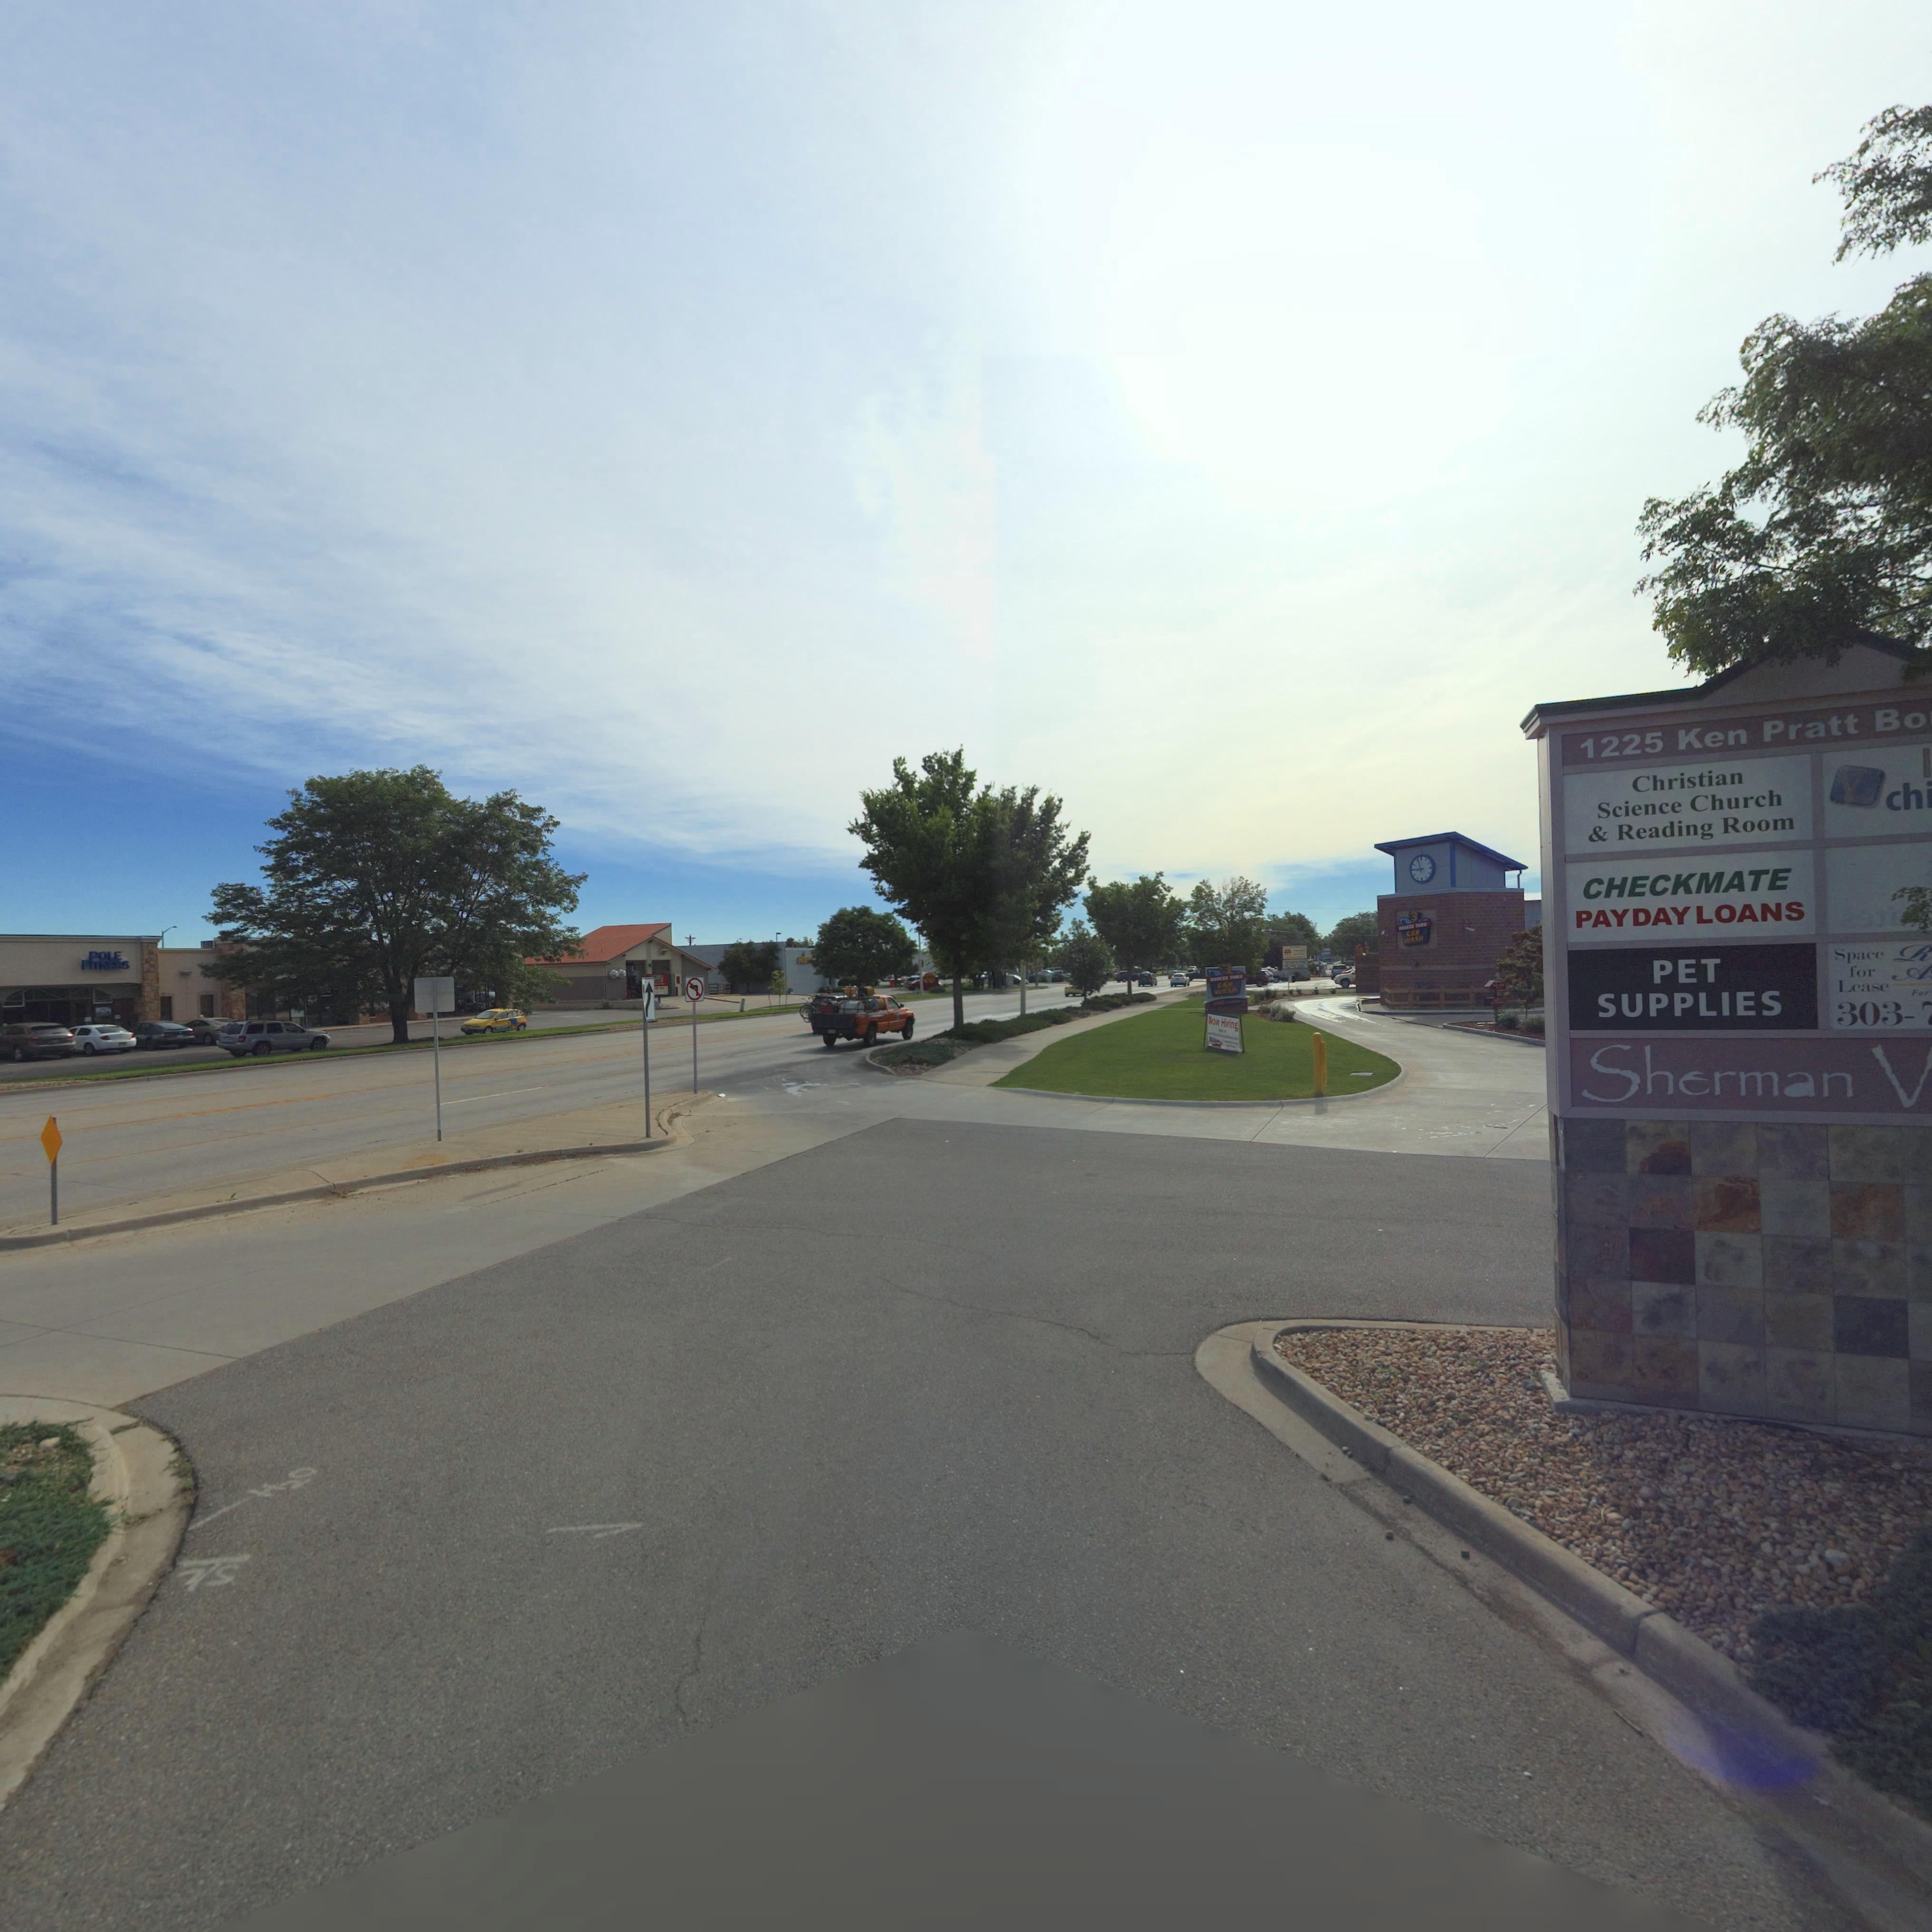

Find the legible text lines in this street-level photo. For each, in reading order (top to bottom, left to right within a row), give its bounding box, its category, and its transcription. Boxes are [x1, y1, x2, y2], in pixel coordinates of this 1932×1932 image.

[1677, 708, 1928, 750] StreetName: 1225 Ken Pratt Bo
[1581, 732, 1664, 758] StreetNumber: 1225
[1632, 769, 1743, 793] BusinessName: Christian
[1597, 789, 1783, 819] BusinessName: Science Church
[1887, 781, 1923, 811] BusinessName: ch
[1587, 816, 1794, 842] BusinessName: * Reading Room
[1583, 868, 1792, 899] BusinessName: CHECKMATE
[1399, 922, 1427, 930] BusinessName: D**** THRU
[1406, 929, 1420, 937] BusinessName: CAR
[1408, 911, 1419, 922] BusinessName: 3
[1403, 936, 1423, 944] BusinessName: WASH
[1575, 901, 1805, 927] BusinessName: PAYDAY LOANS
[88, 951, 122, 960] BusinessName: POLE
[81, 960, 130, 969] BusinessName: FITNESS
[797, 956, 812, 964] None: MID*
[1217, 981, 1233, 988] BusinessName: CAR
[1214, 987, 1237, 995] BusinessName: WASH
[1210, 974, 1243, 981] BusinessName: ***** THRU
[1653, 958, 1721, 984] BusinessName: PET
[1598, 991, 1781, 1017] BusinessName: SUPPLIES